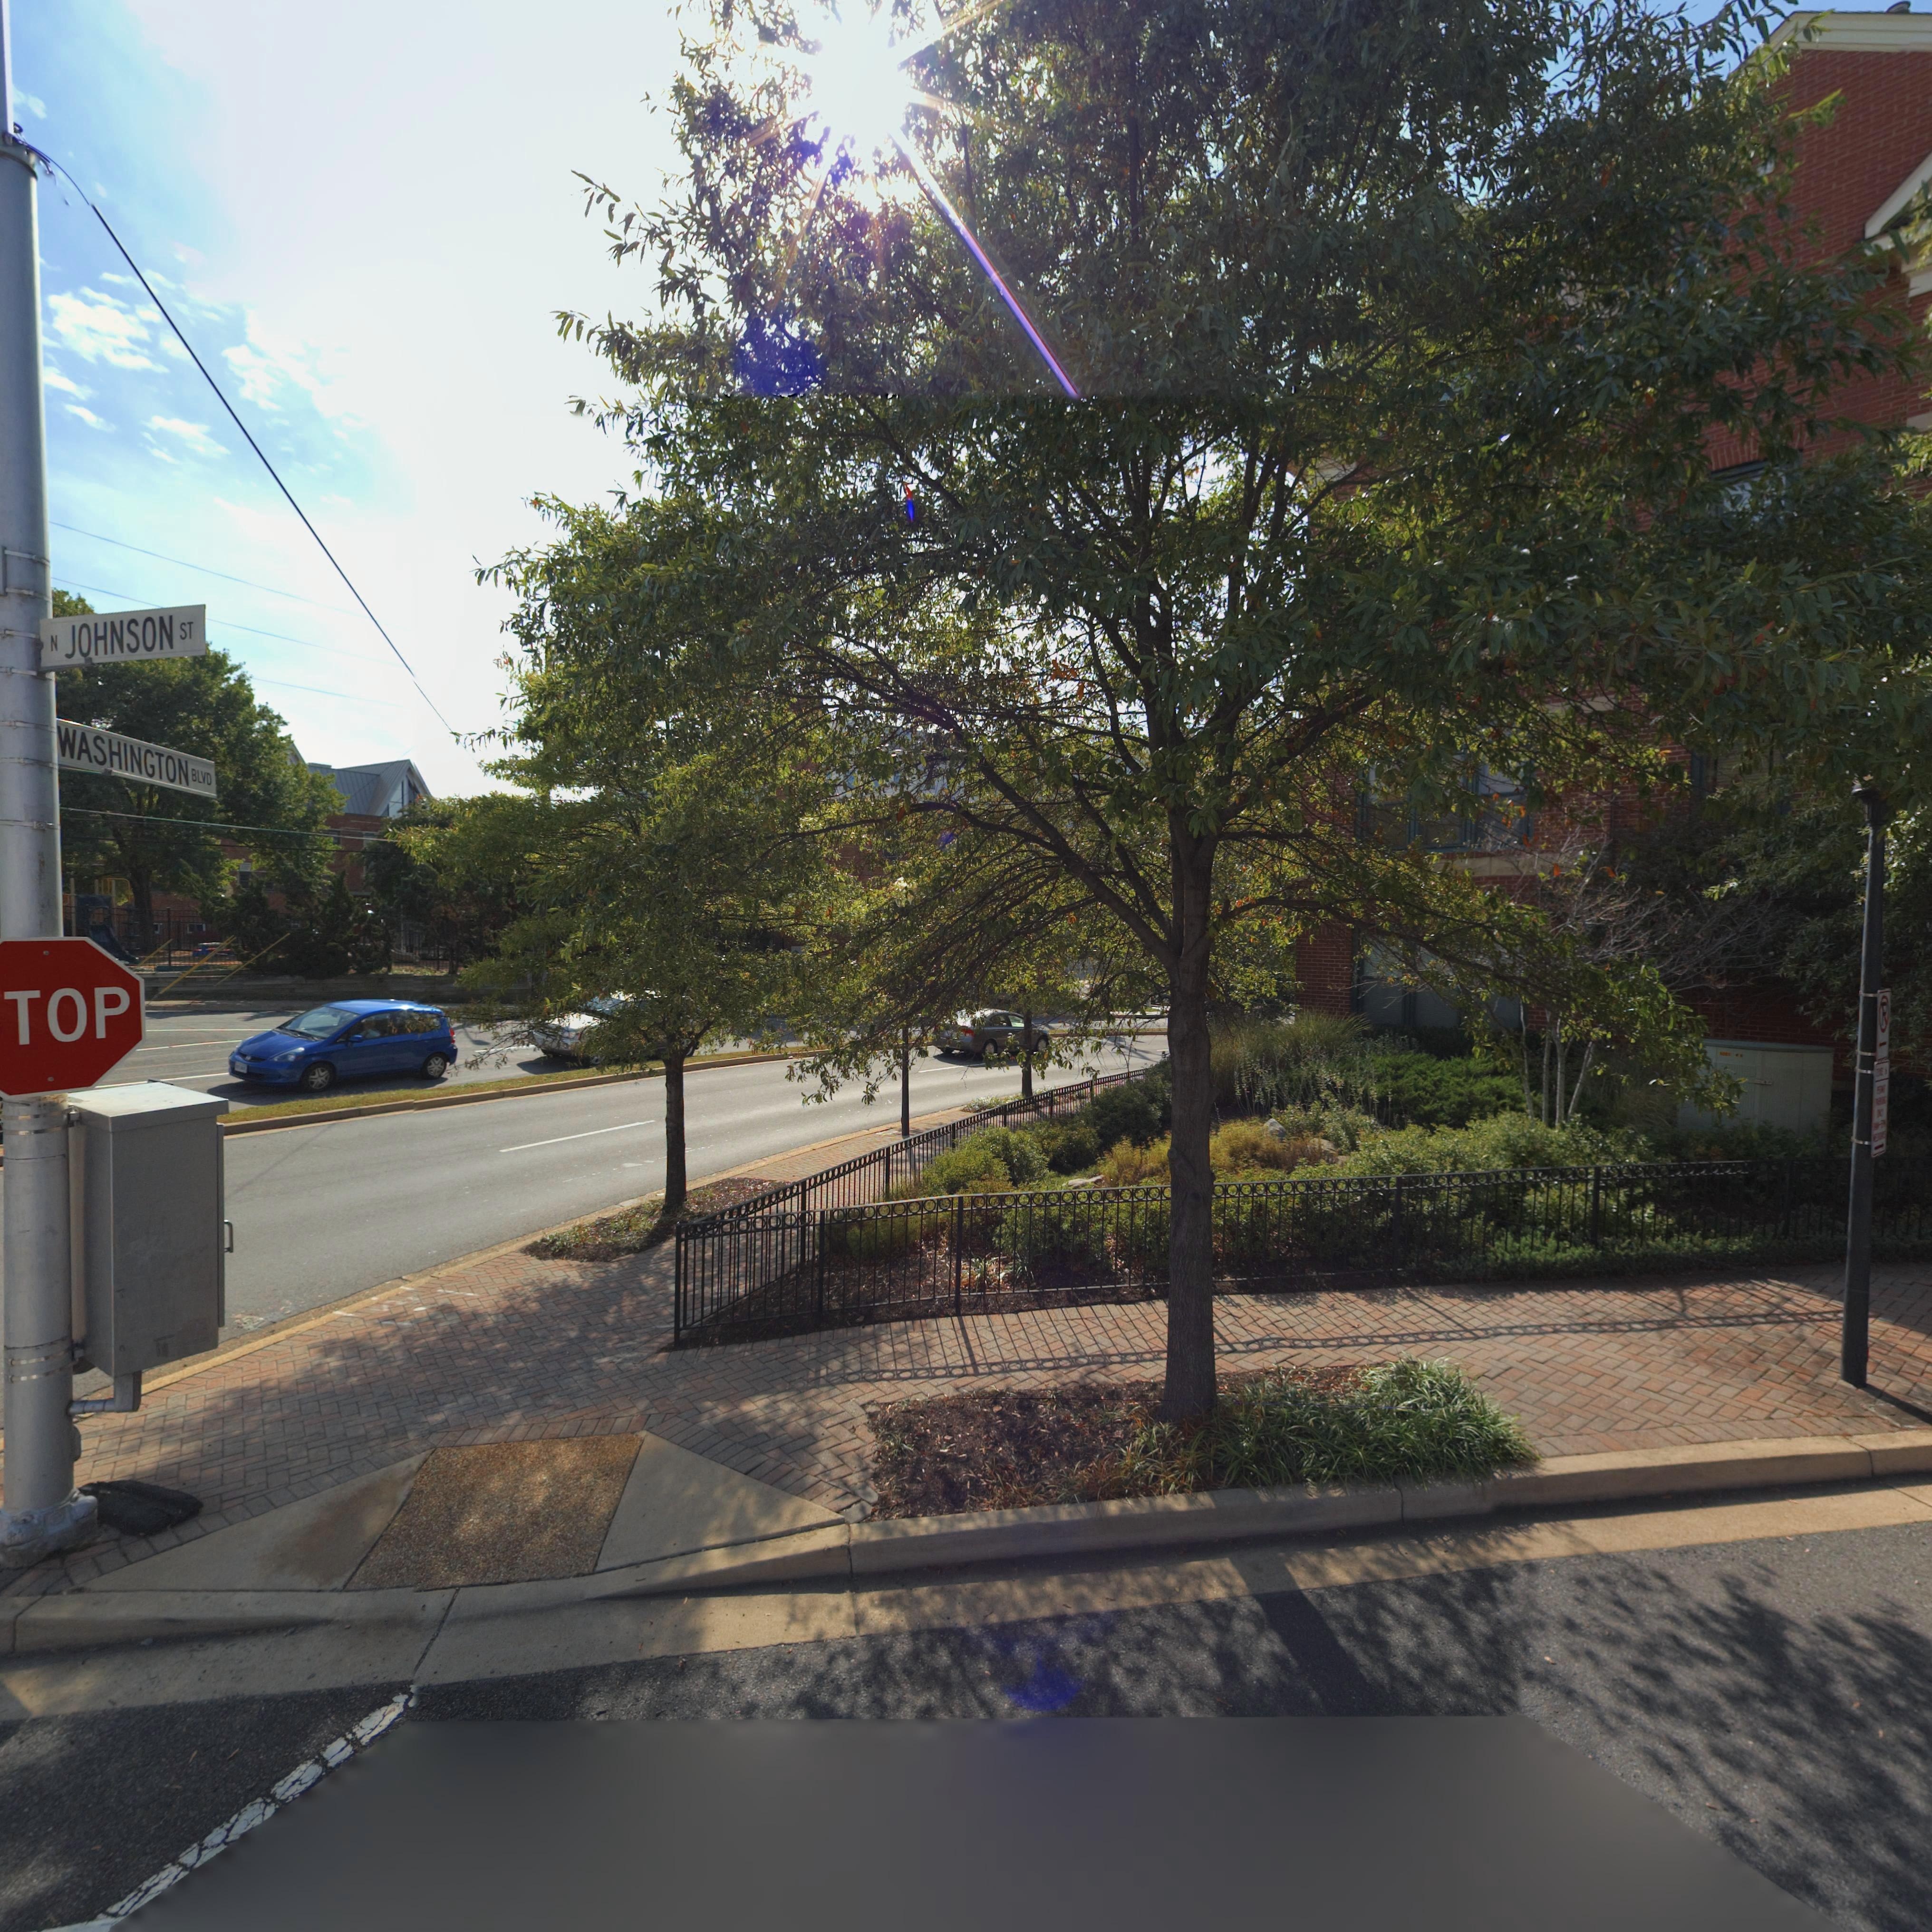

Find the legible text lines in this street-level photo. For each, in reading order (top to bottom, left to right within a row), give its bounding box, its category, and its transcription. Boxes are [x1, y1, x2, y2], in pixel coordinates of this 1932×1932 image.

[50, 613, 195, 660] StreetName: N JOHNSON ST
[55, 724, 213, 787] StreetName: WASHINGTON BLVD
[2, 985, 131, 1046] None: TOP